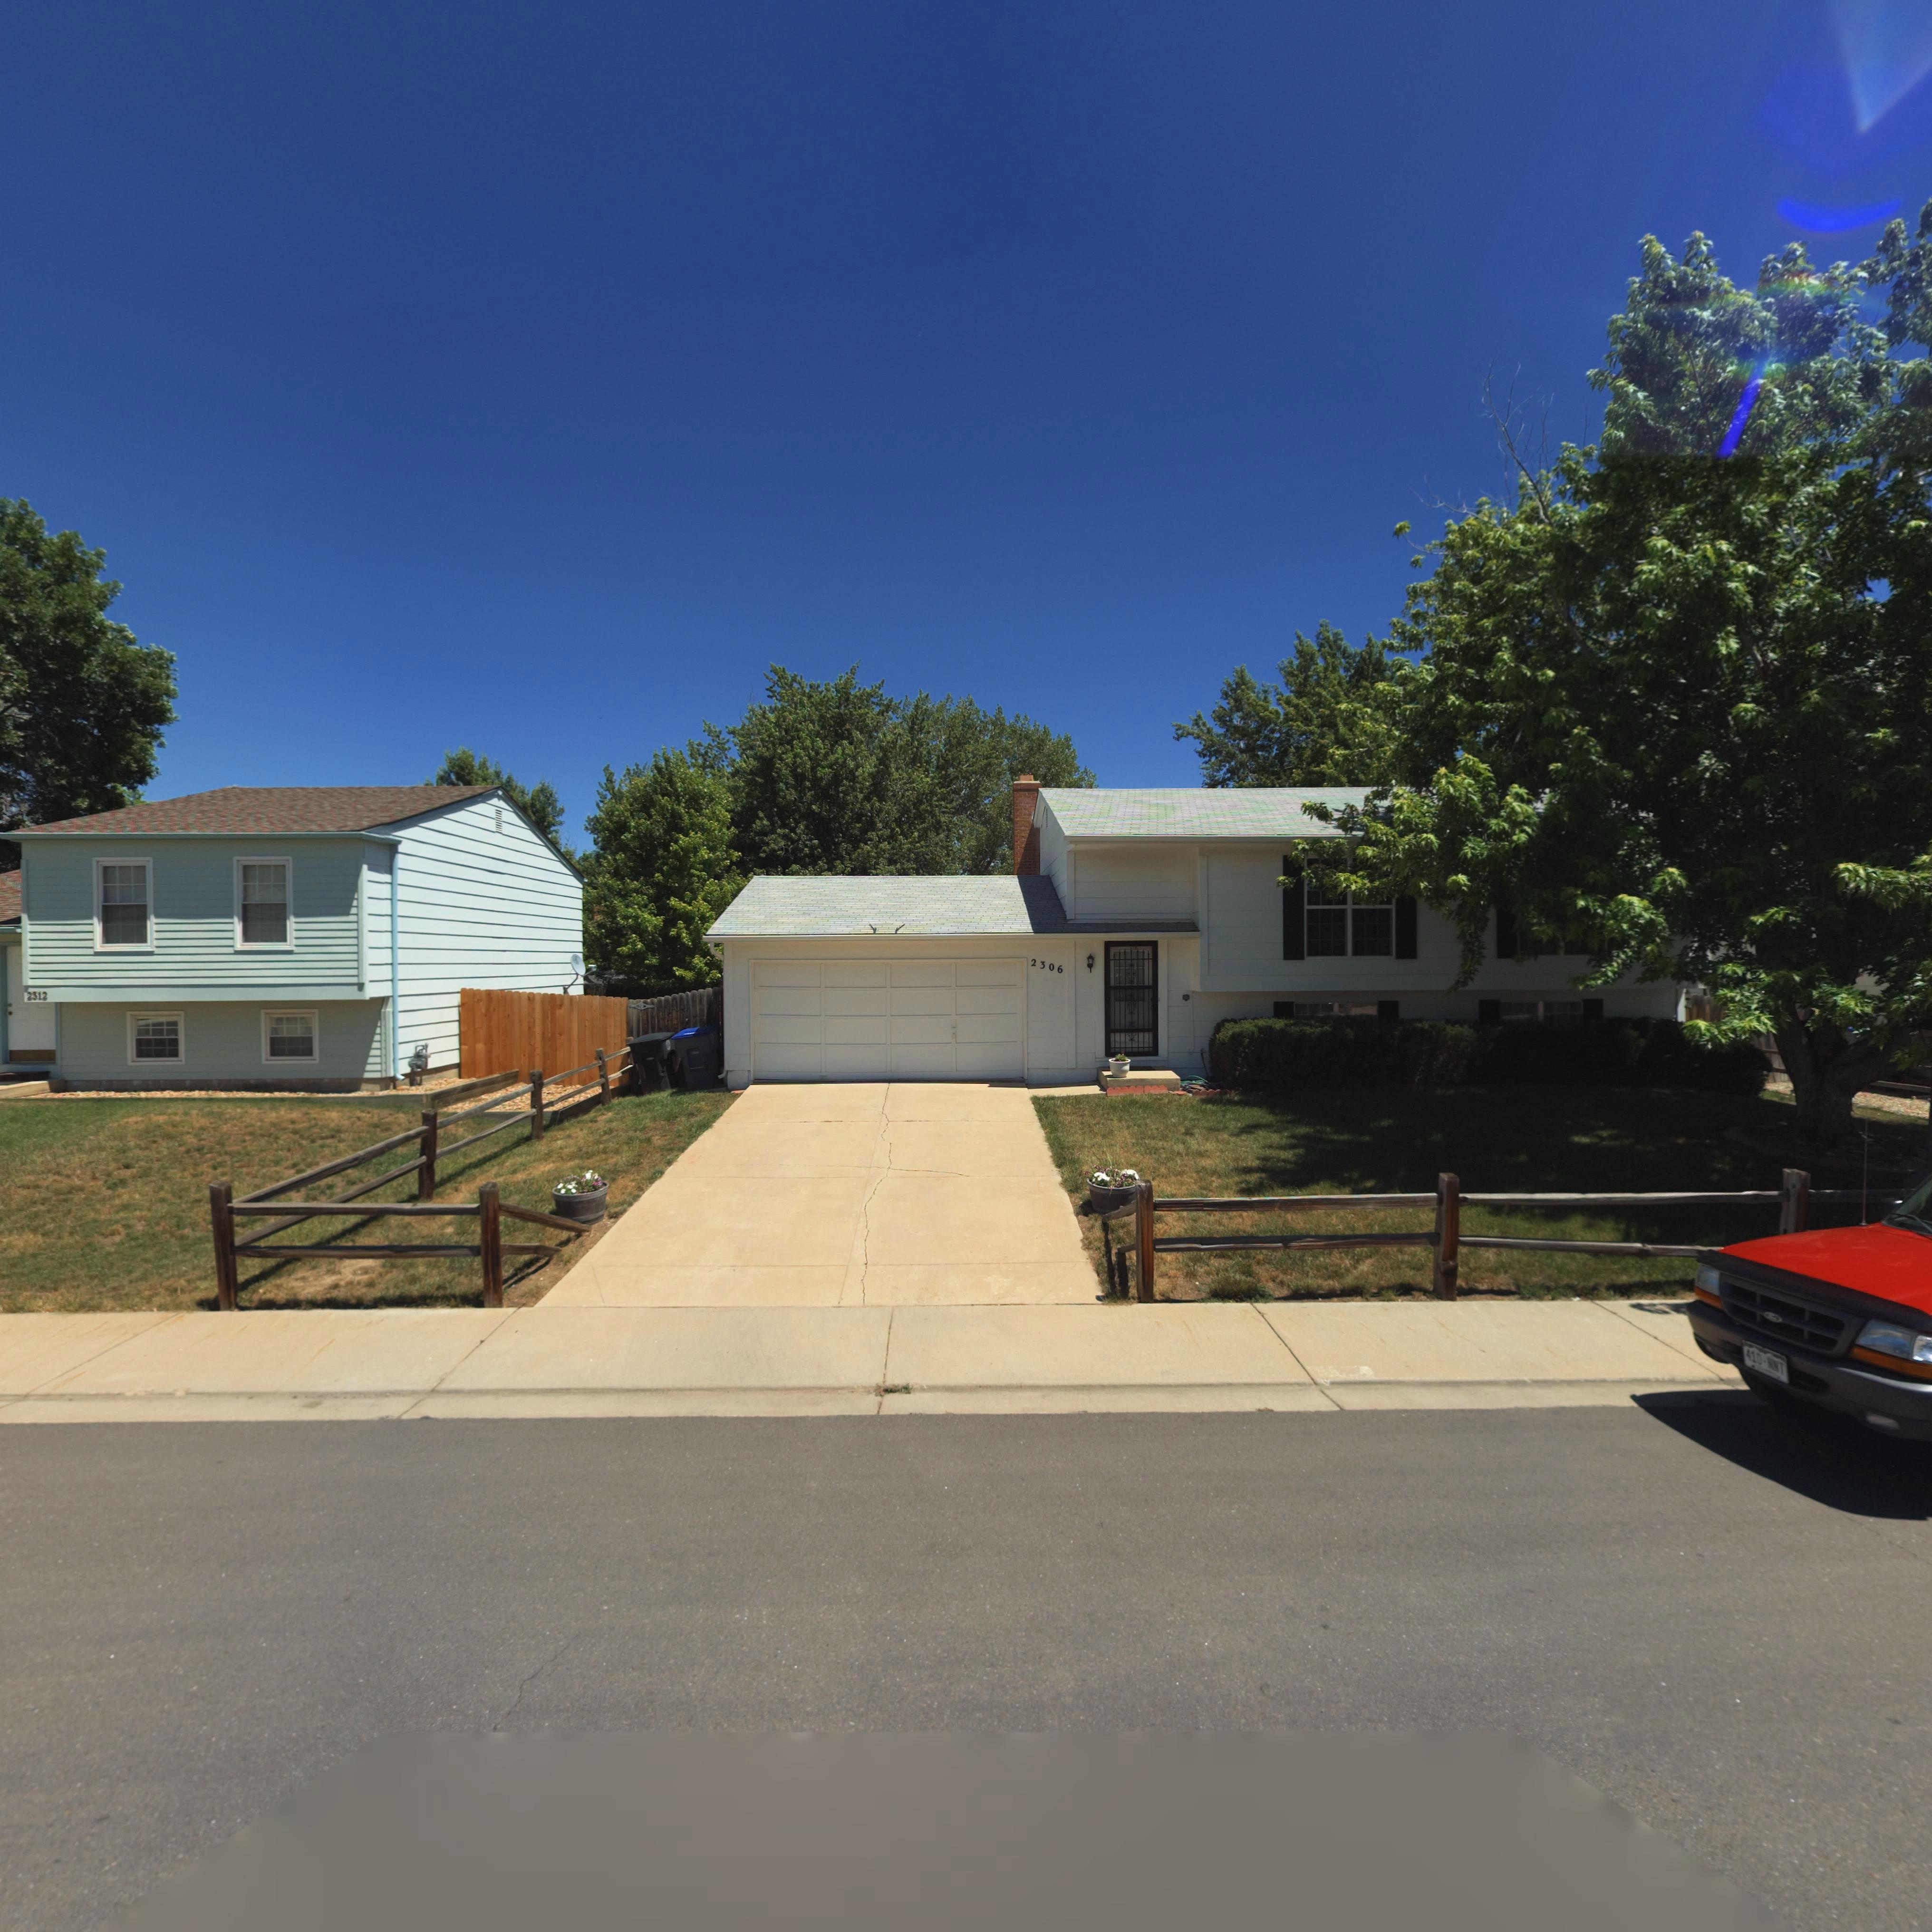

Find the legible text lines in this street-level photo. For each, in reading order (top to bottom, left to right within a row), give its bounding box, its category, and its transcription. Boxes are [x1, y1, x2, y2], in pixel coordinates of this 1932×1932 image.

[1031, 958, 1063, 974] StreetNumber: 2306
[26, 991, 48, 1001] StreetNumber: 2312